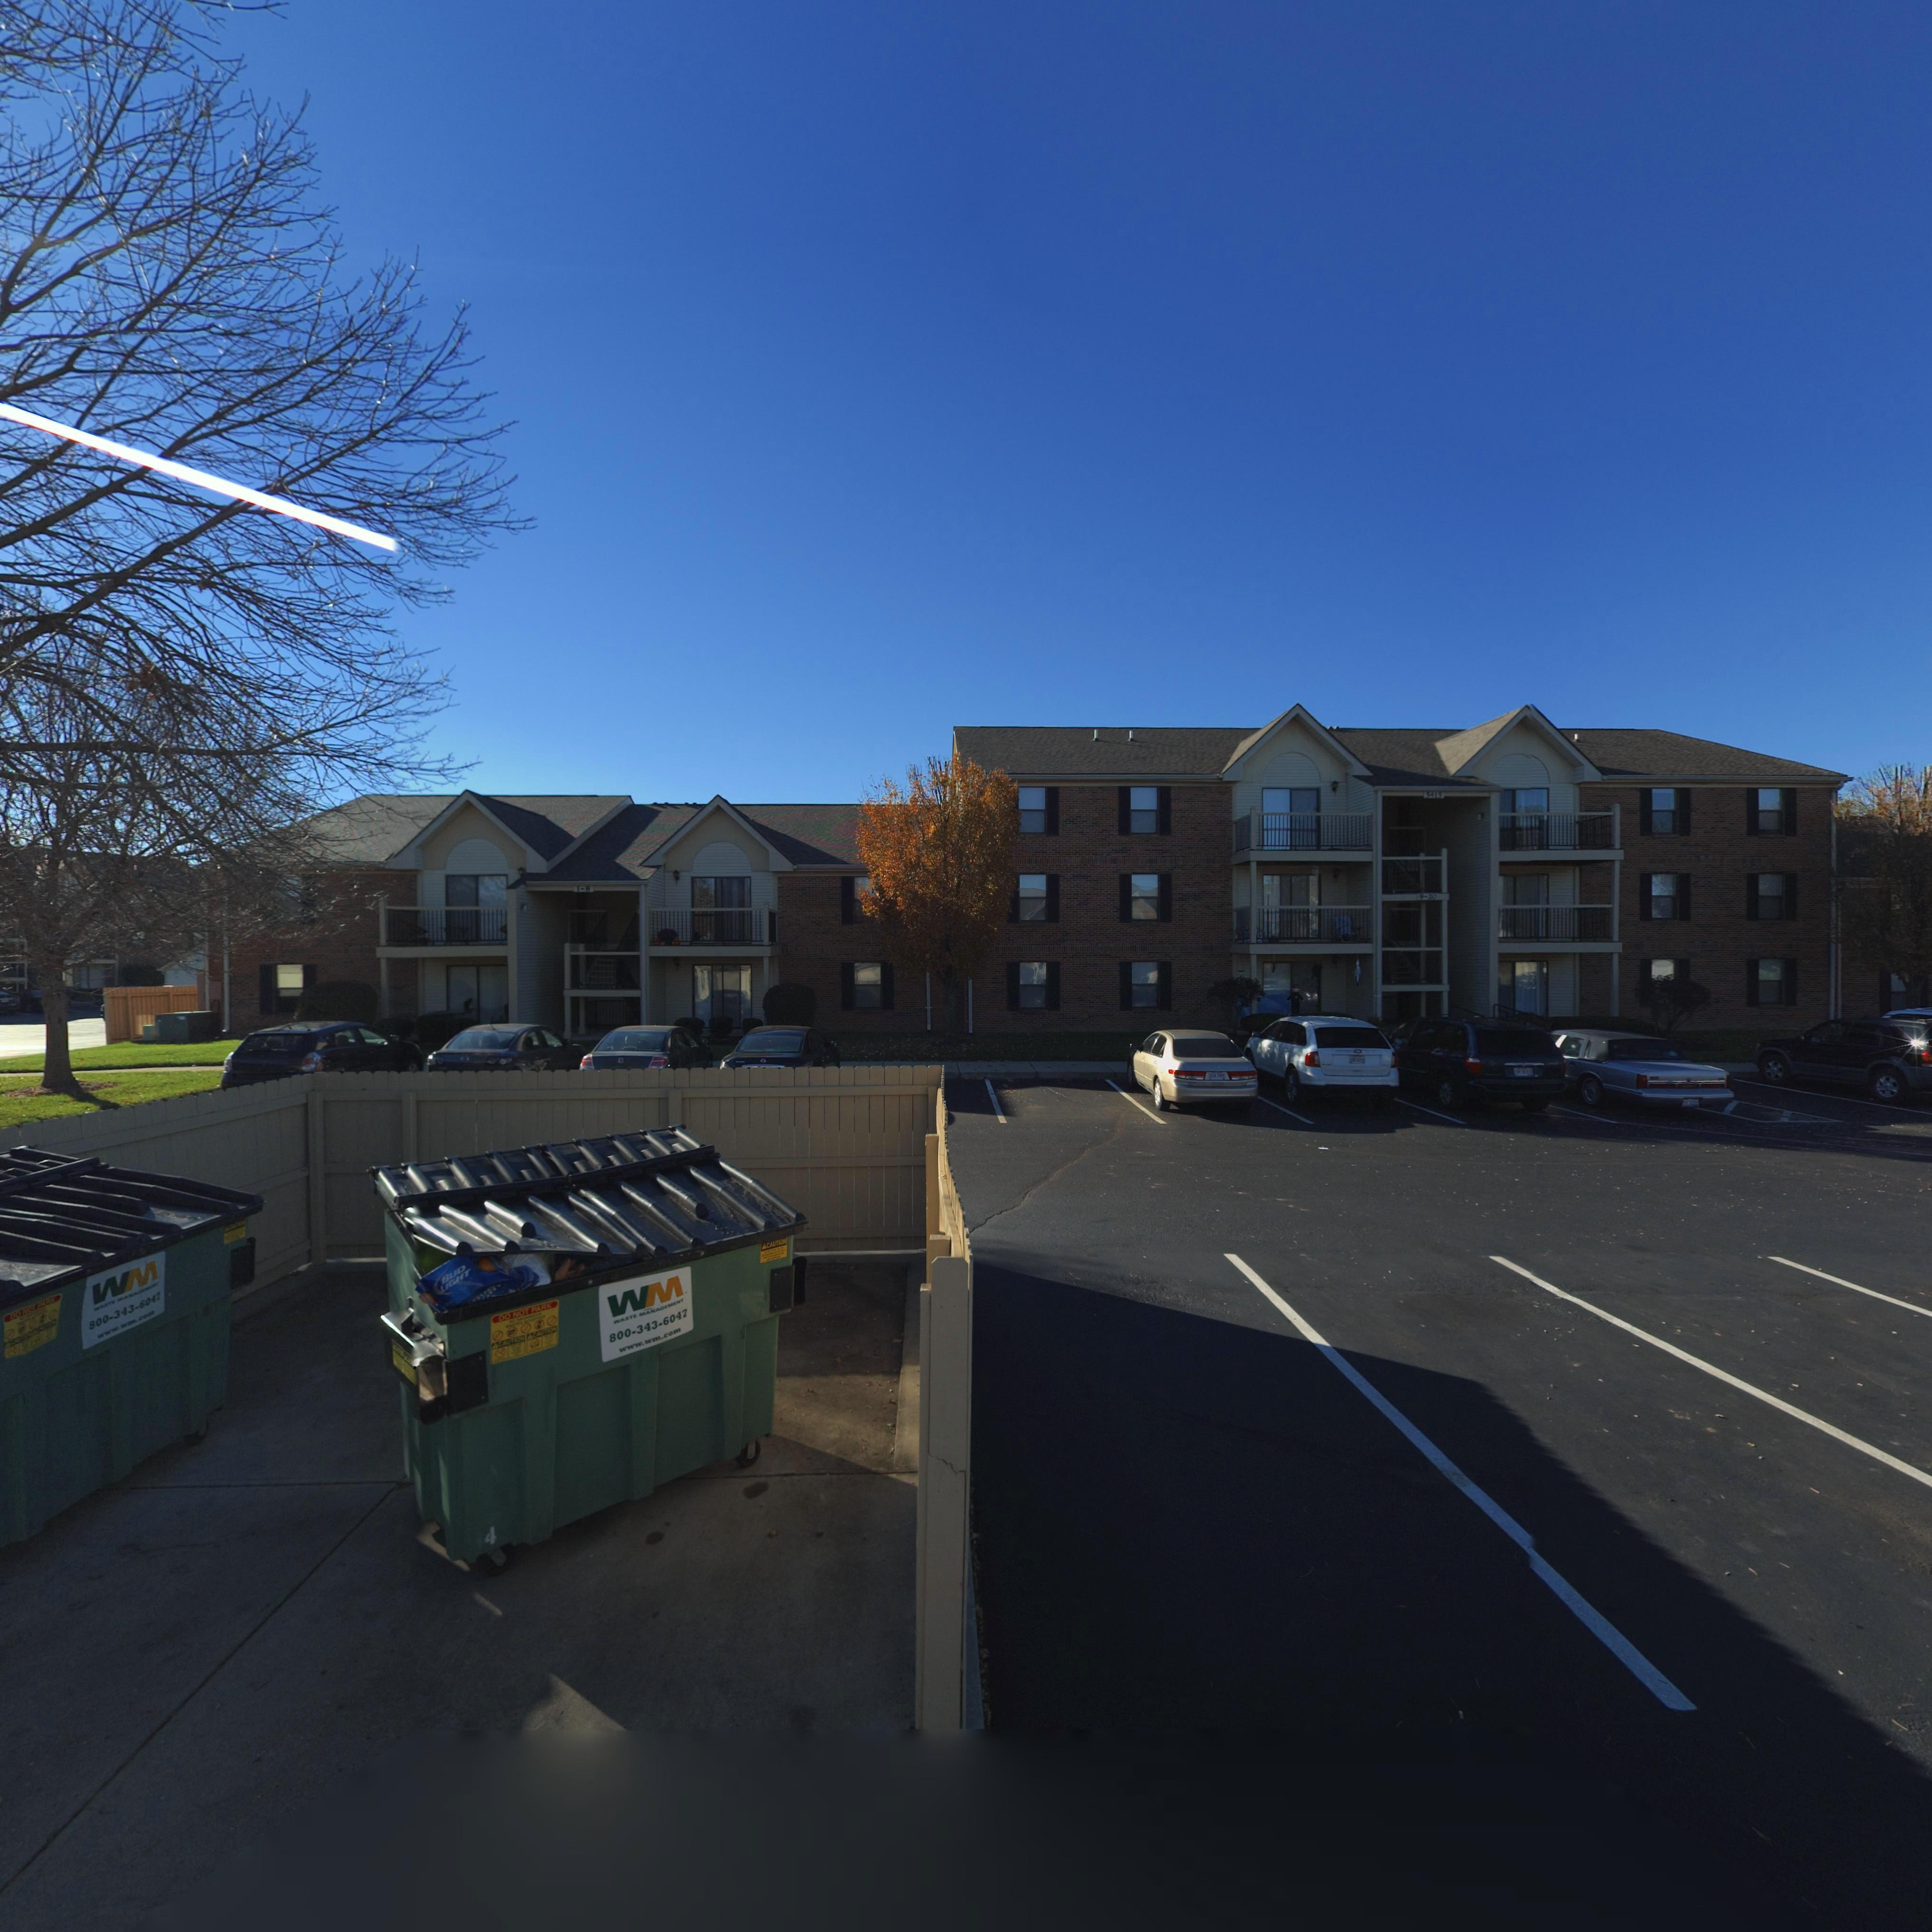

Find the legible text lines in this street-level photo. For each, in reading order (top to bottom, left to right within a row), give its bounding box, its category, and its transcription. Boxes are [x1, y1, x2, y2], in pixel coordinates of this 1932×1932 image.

[1425, 791, 1442, 798] StreetNumber: 5415
[576, 885, 590, 892] StreetNumber: 1-8
[1419, 893, 1437, 900] StreetNumber: 9-20